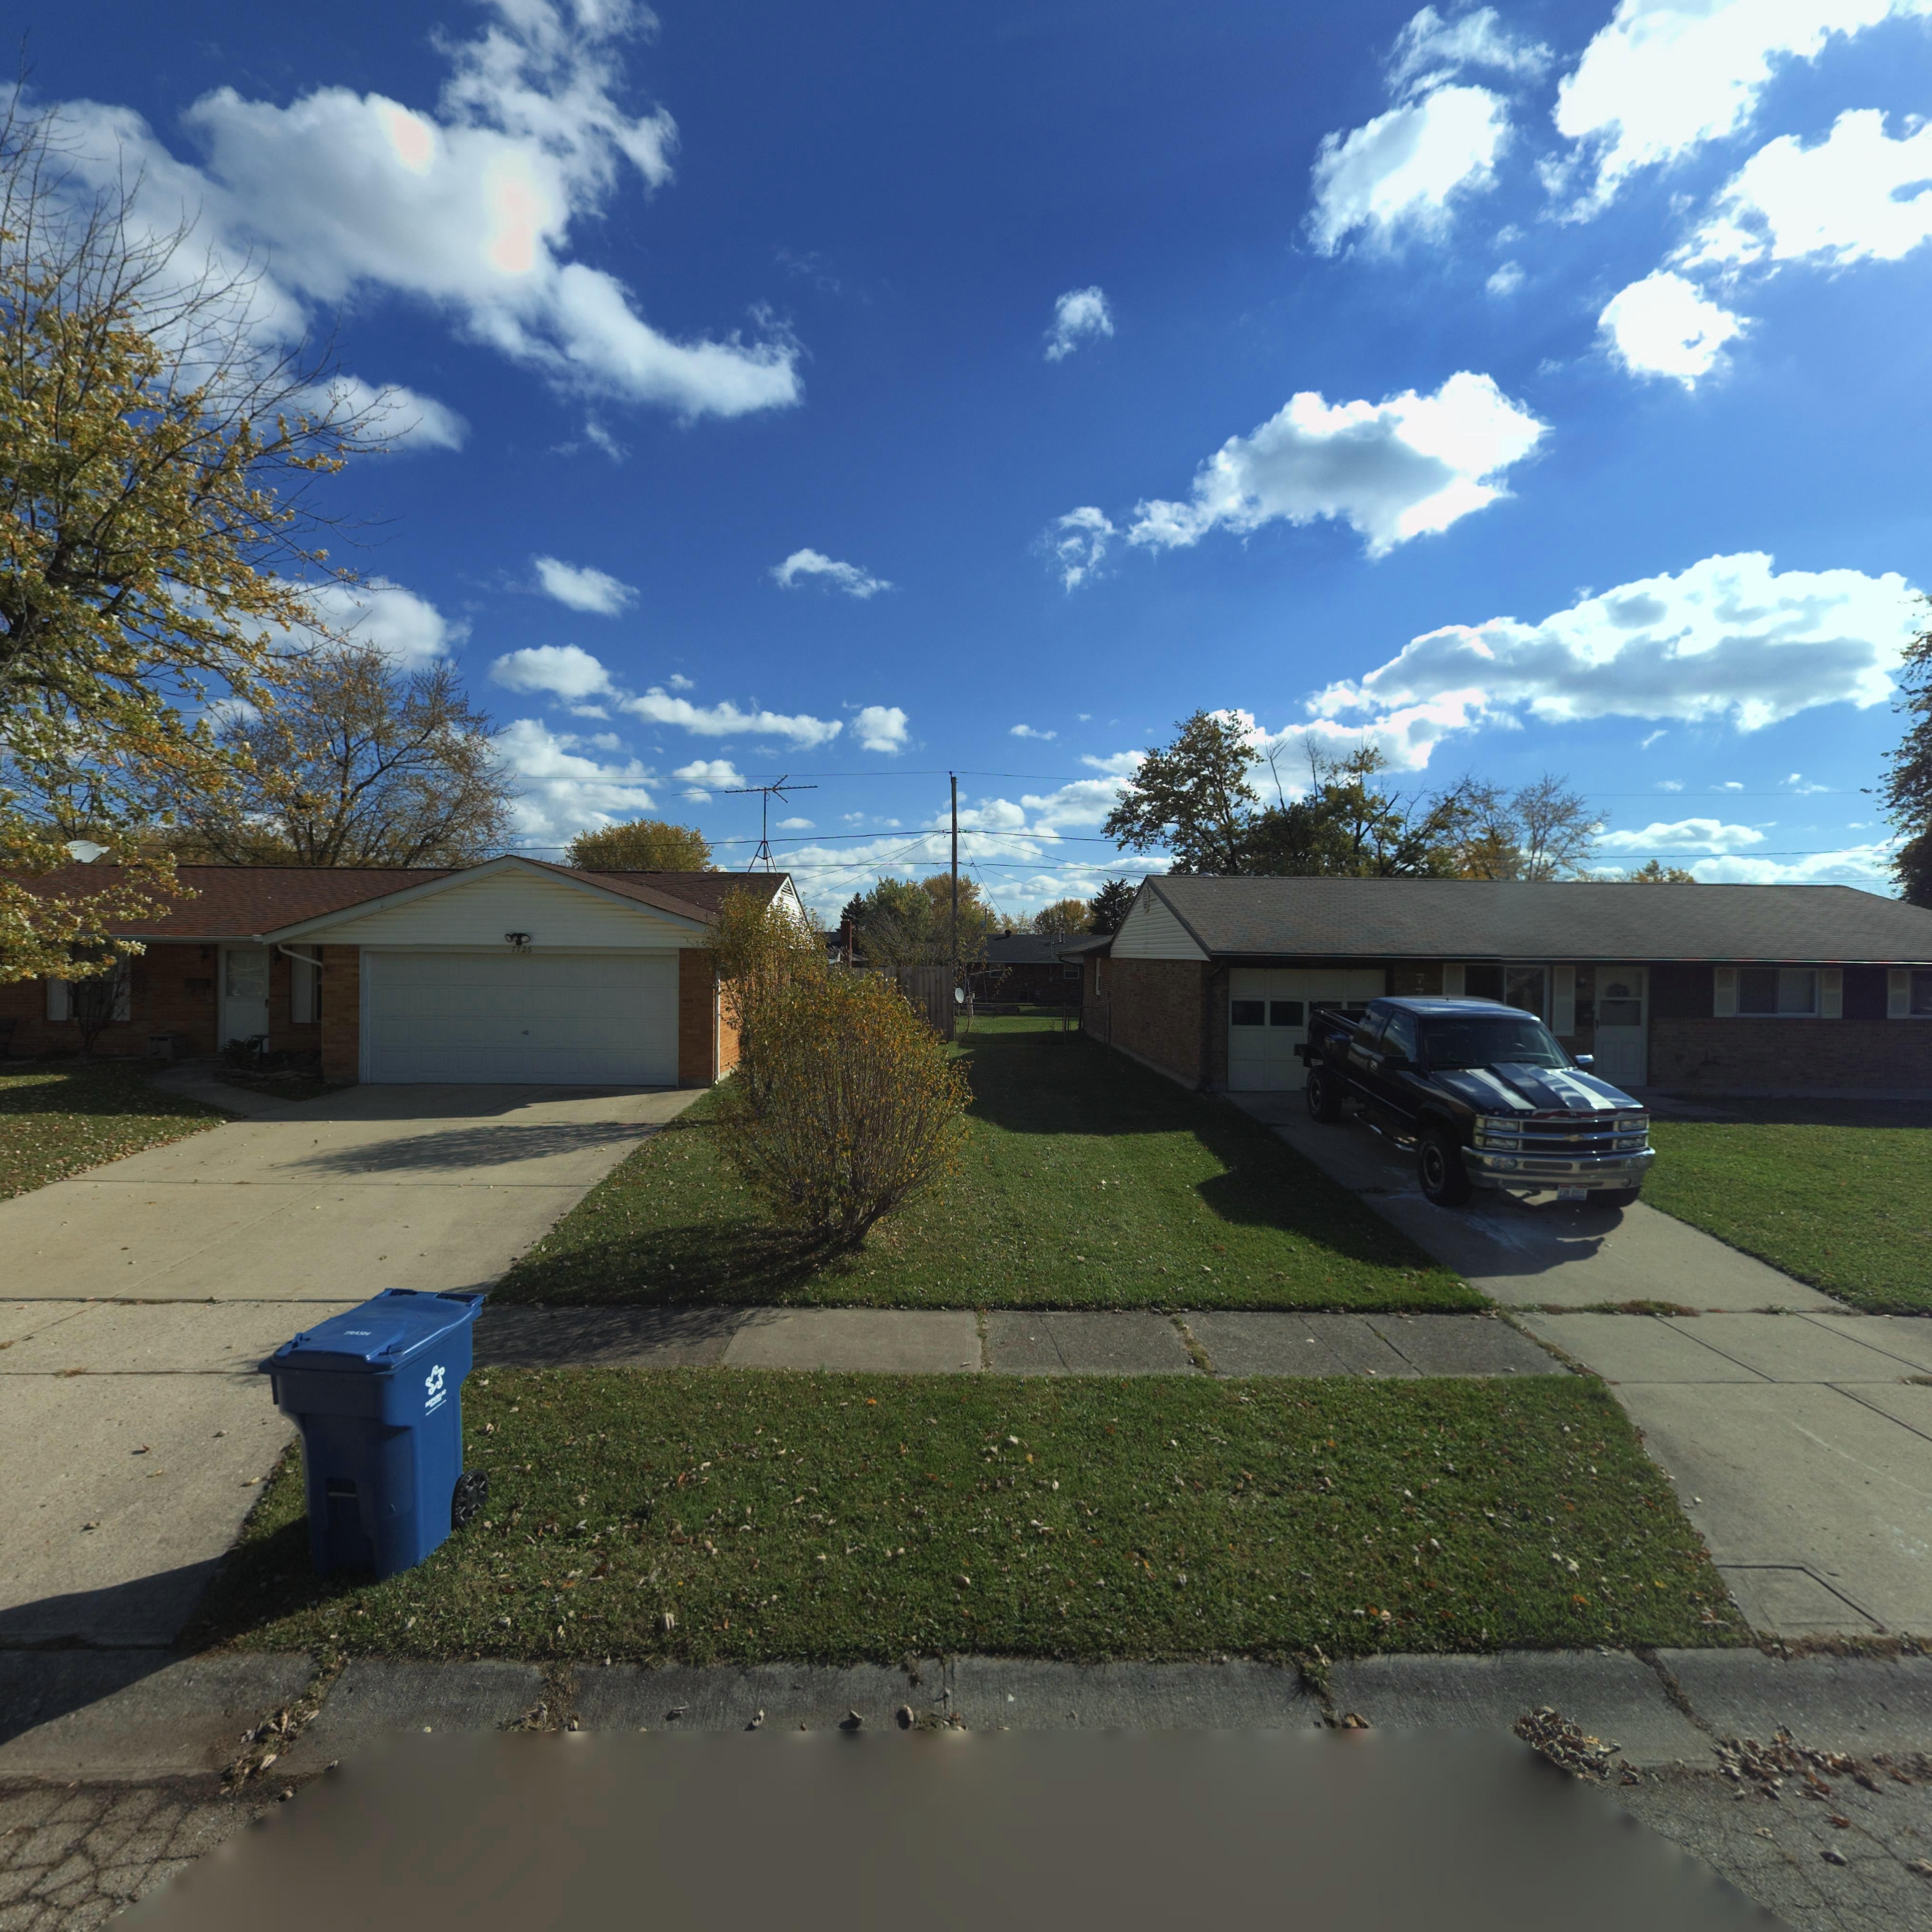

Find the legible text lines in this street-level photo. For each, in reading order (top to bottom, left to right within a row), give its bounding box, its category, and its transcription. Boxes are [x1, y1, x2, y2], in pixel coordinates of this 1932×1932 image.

[511, 945, 533, 954] StreetNumber: 7726
[1415, 972, 1426, 985] StreetNumber: 7